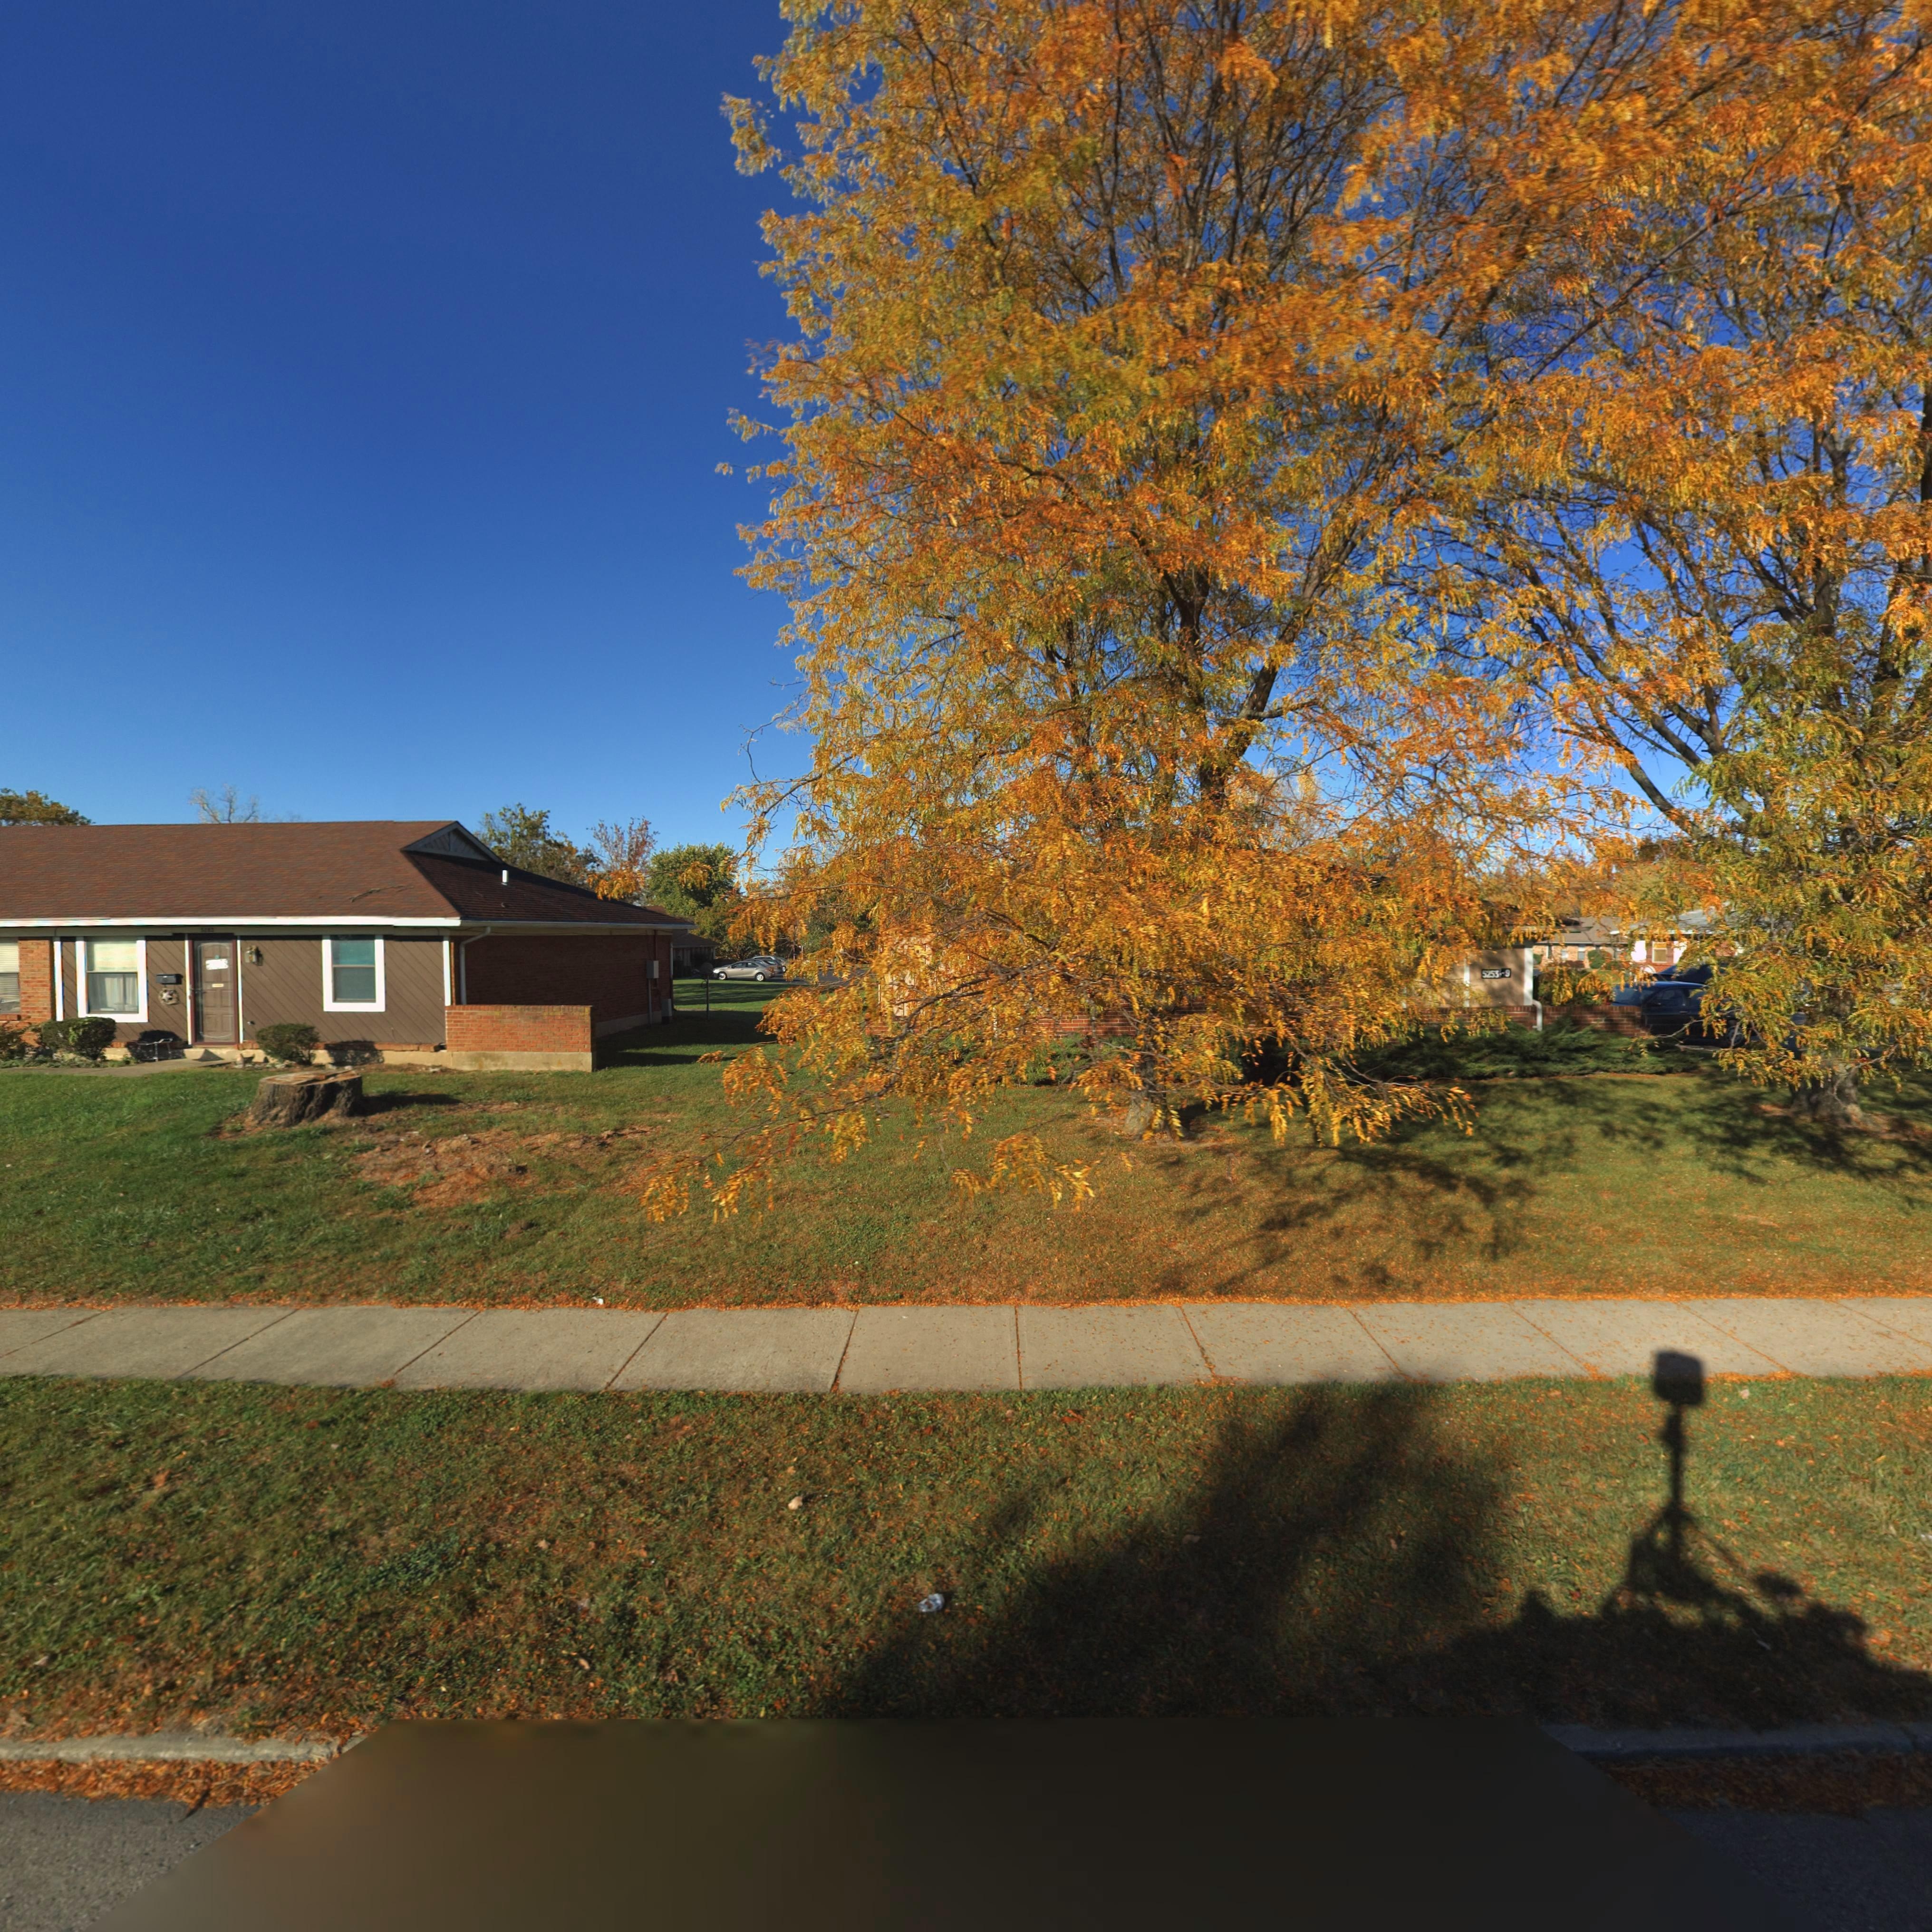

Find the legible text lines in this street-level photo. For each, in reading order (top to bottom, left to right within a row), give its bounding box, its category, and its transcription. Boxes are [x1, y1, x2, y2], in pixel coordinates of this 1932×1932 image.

[200, 927, 214, 932] StreetNumber: 5283